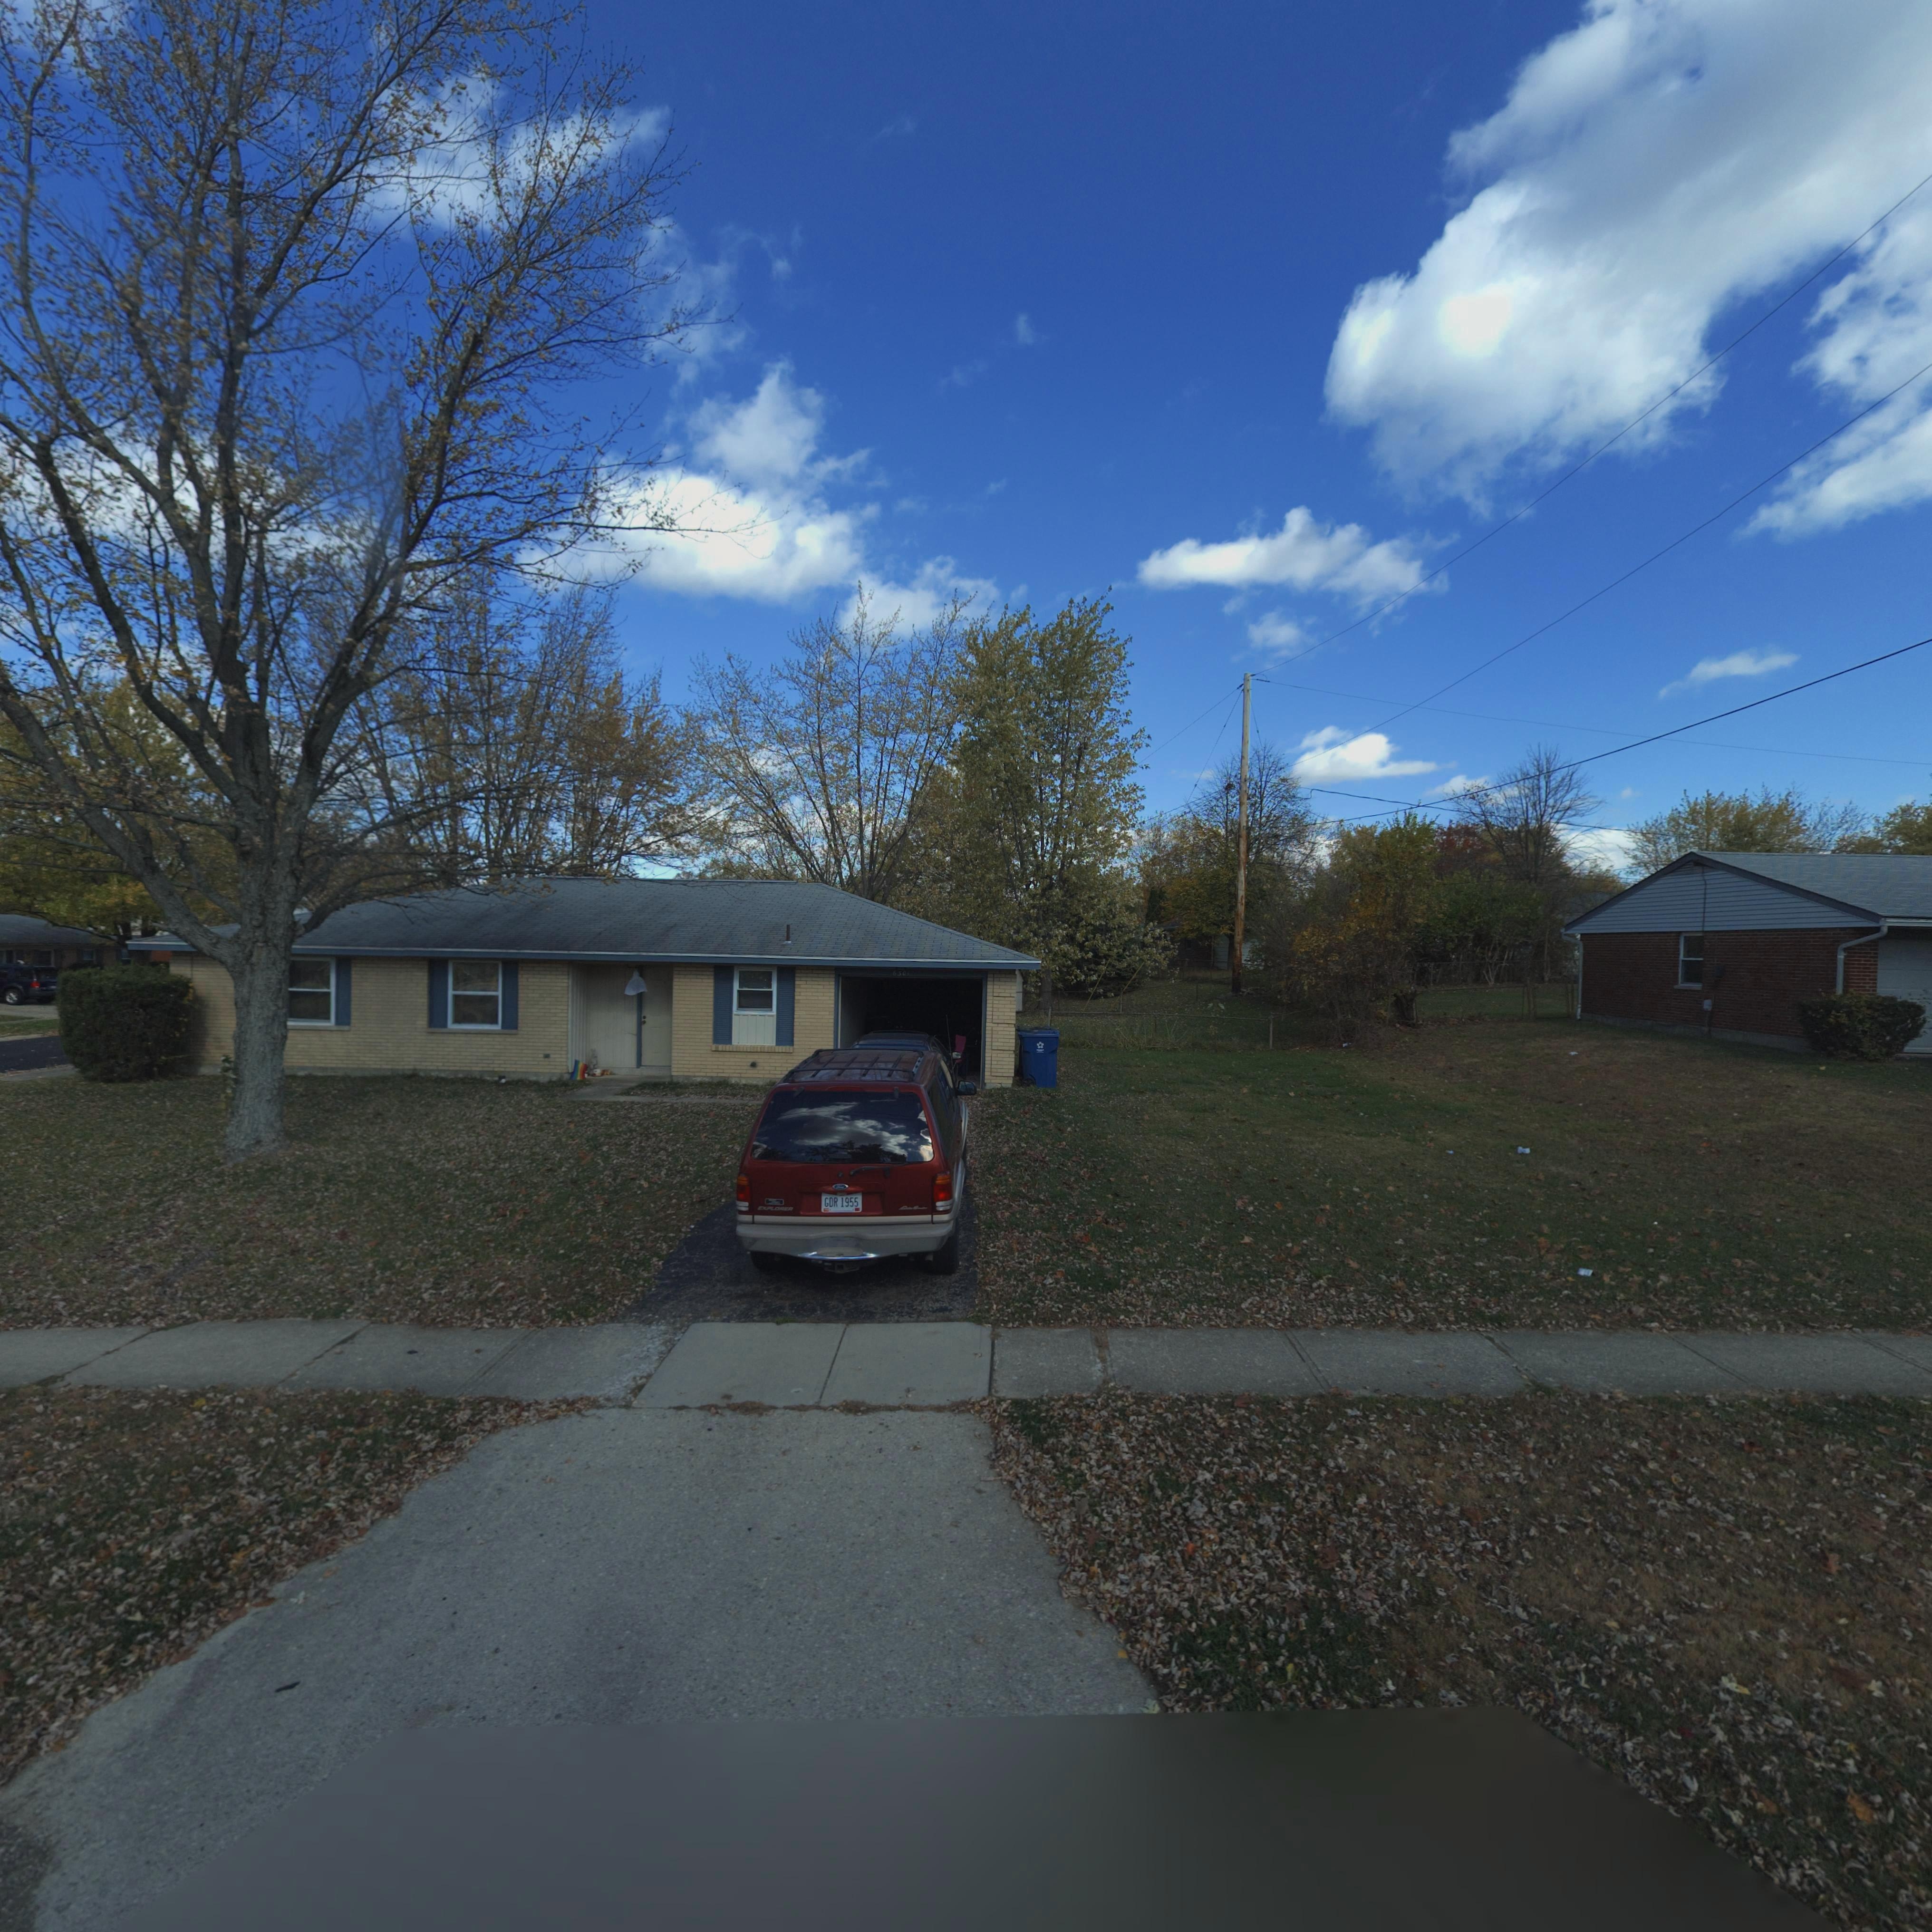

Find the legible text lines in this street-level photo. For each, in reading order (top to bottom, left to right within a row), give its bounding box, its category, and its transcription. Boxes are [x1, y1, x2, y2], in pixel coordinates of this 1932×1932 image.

[892, 969, 911, 976] StreetNumber: 6307